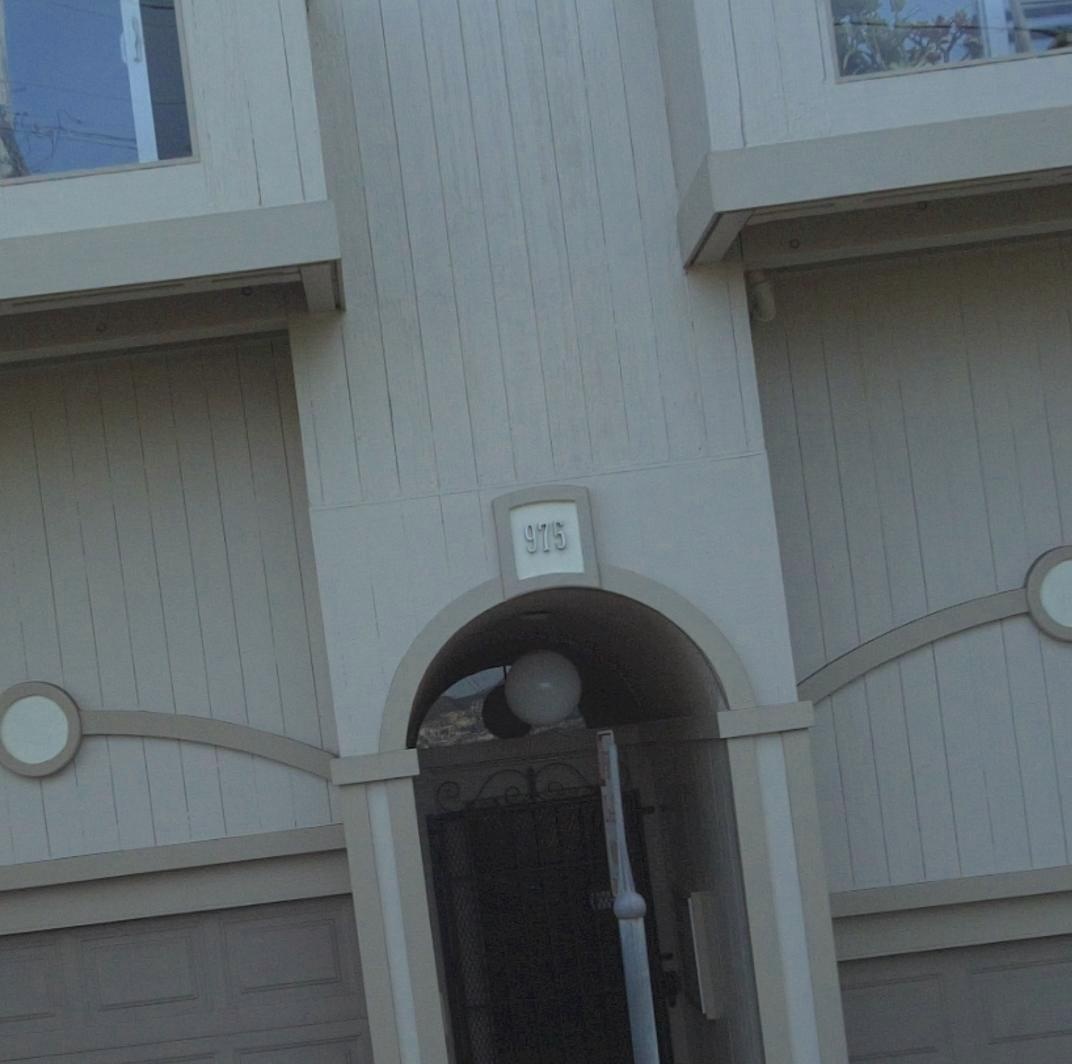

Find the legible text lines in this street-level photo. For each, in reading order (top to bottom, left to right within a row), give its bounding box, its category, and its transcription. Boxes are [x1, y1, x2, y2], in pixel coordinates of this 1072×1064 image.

[522, 519, 568, 555] StreetNumber: 975